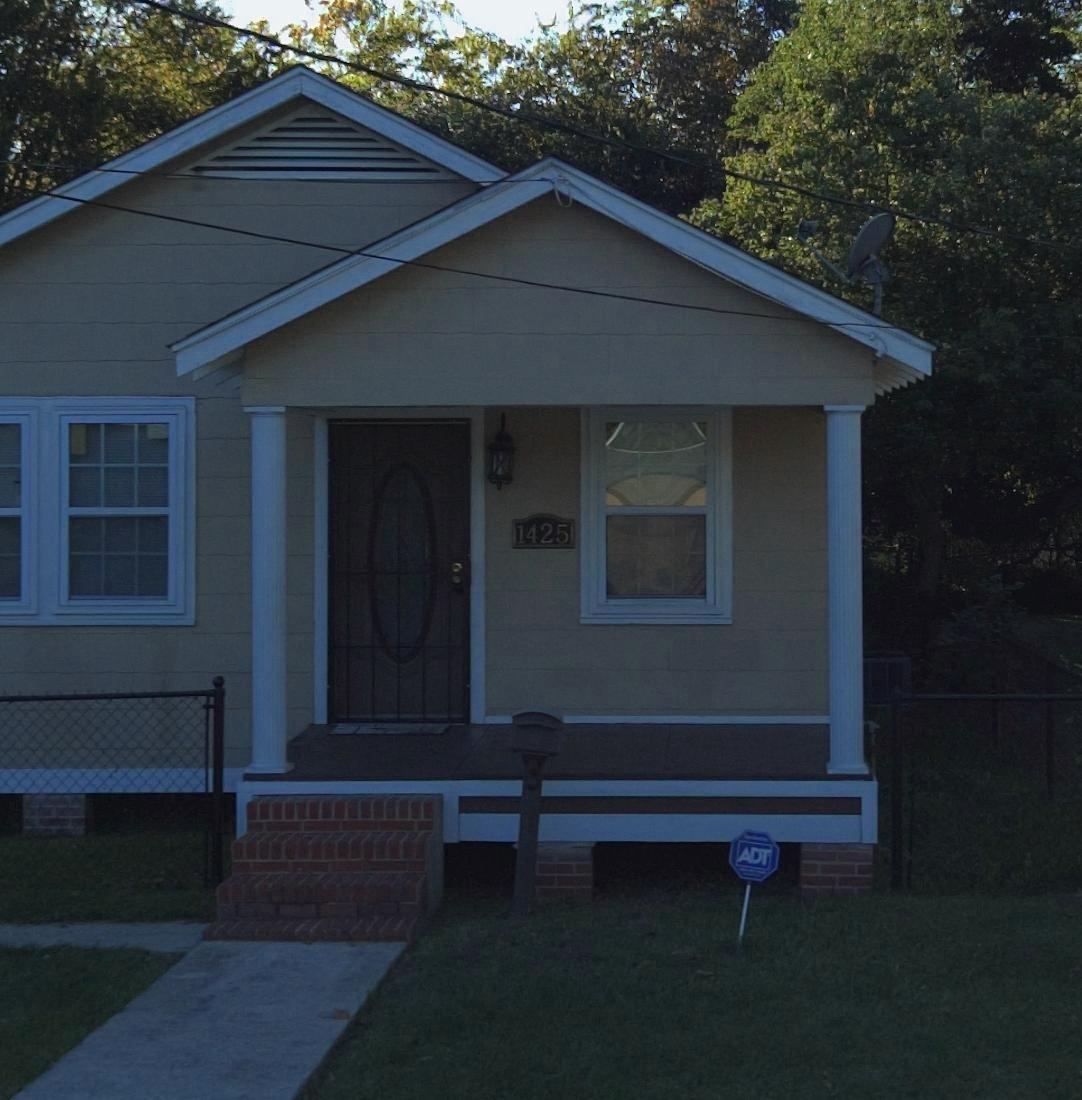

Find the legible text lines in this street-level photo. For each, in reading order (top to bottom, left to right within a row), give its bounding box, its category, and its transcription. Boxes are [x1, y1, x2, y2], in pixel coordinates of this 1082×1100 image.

[514, 520, 571, 547] StreetNumber: 1425
[734, 843, 774, 868] None: ADT